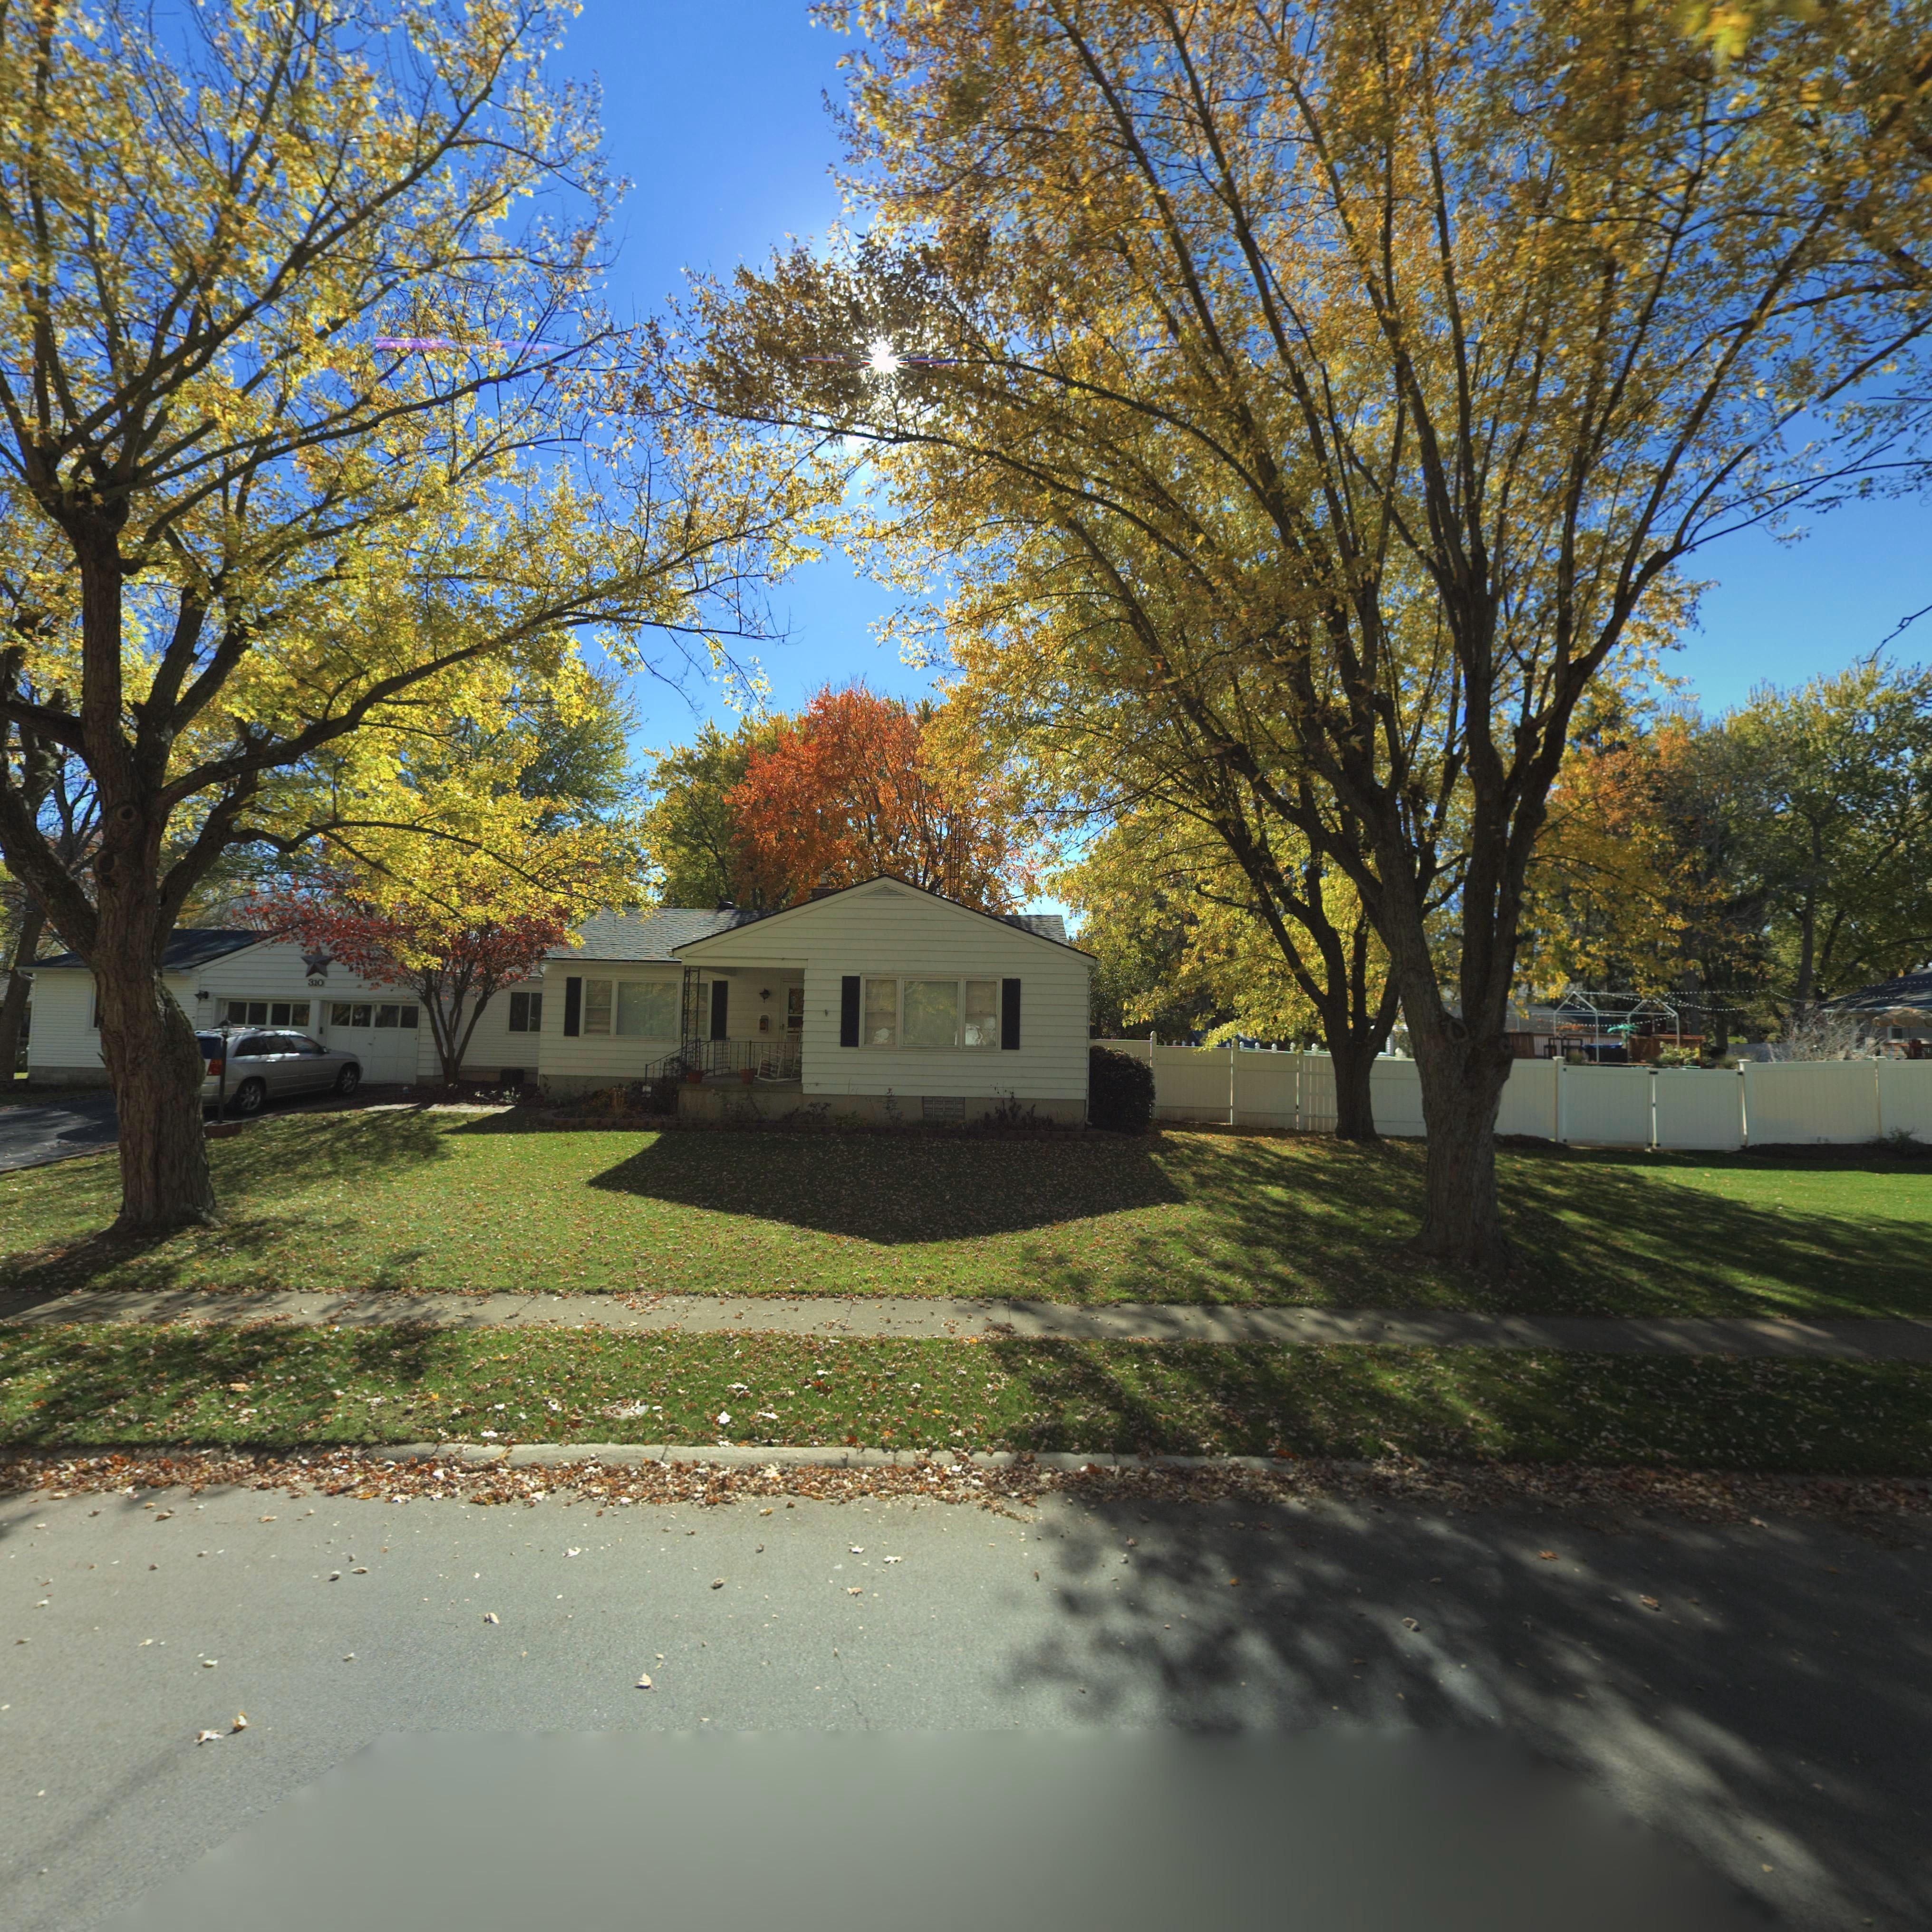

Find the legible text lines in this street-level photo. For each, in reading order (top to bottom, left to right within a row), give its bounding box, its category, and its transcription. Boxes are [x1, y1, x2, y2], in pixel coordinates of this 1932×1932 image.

[307, 978, 325, 987] StreetNumber: 310